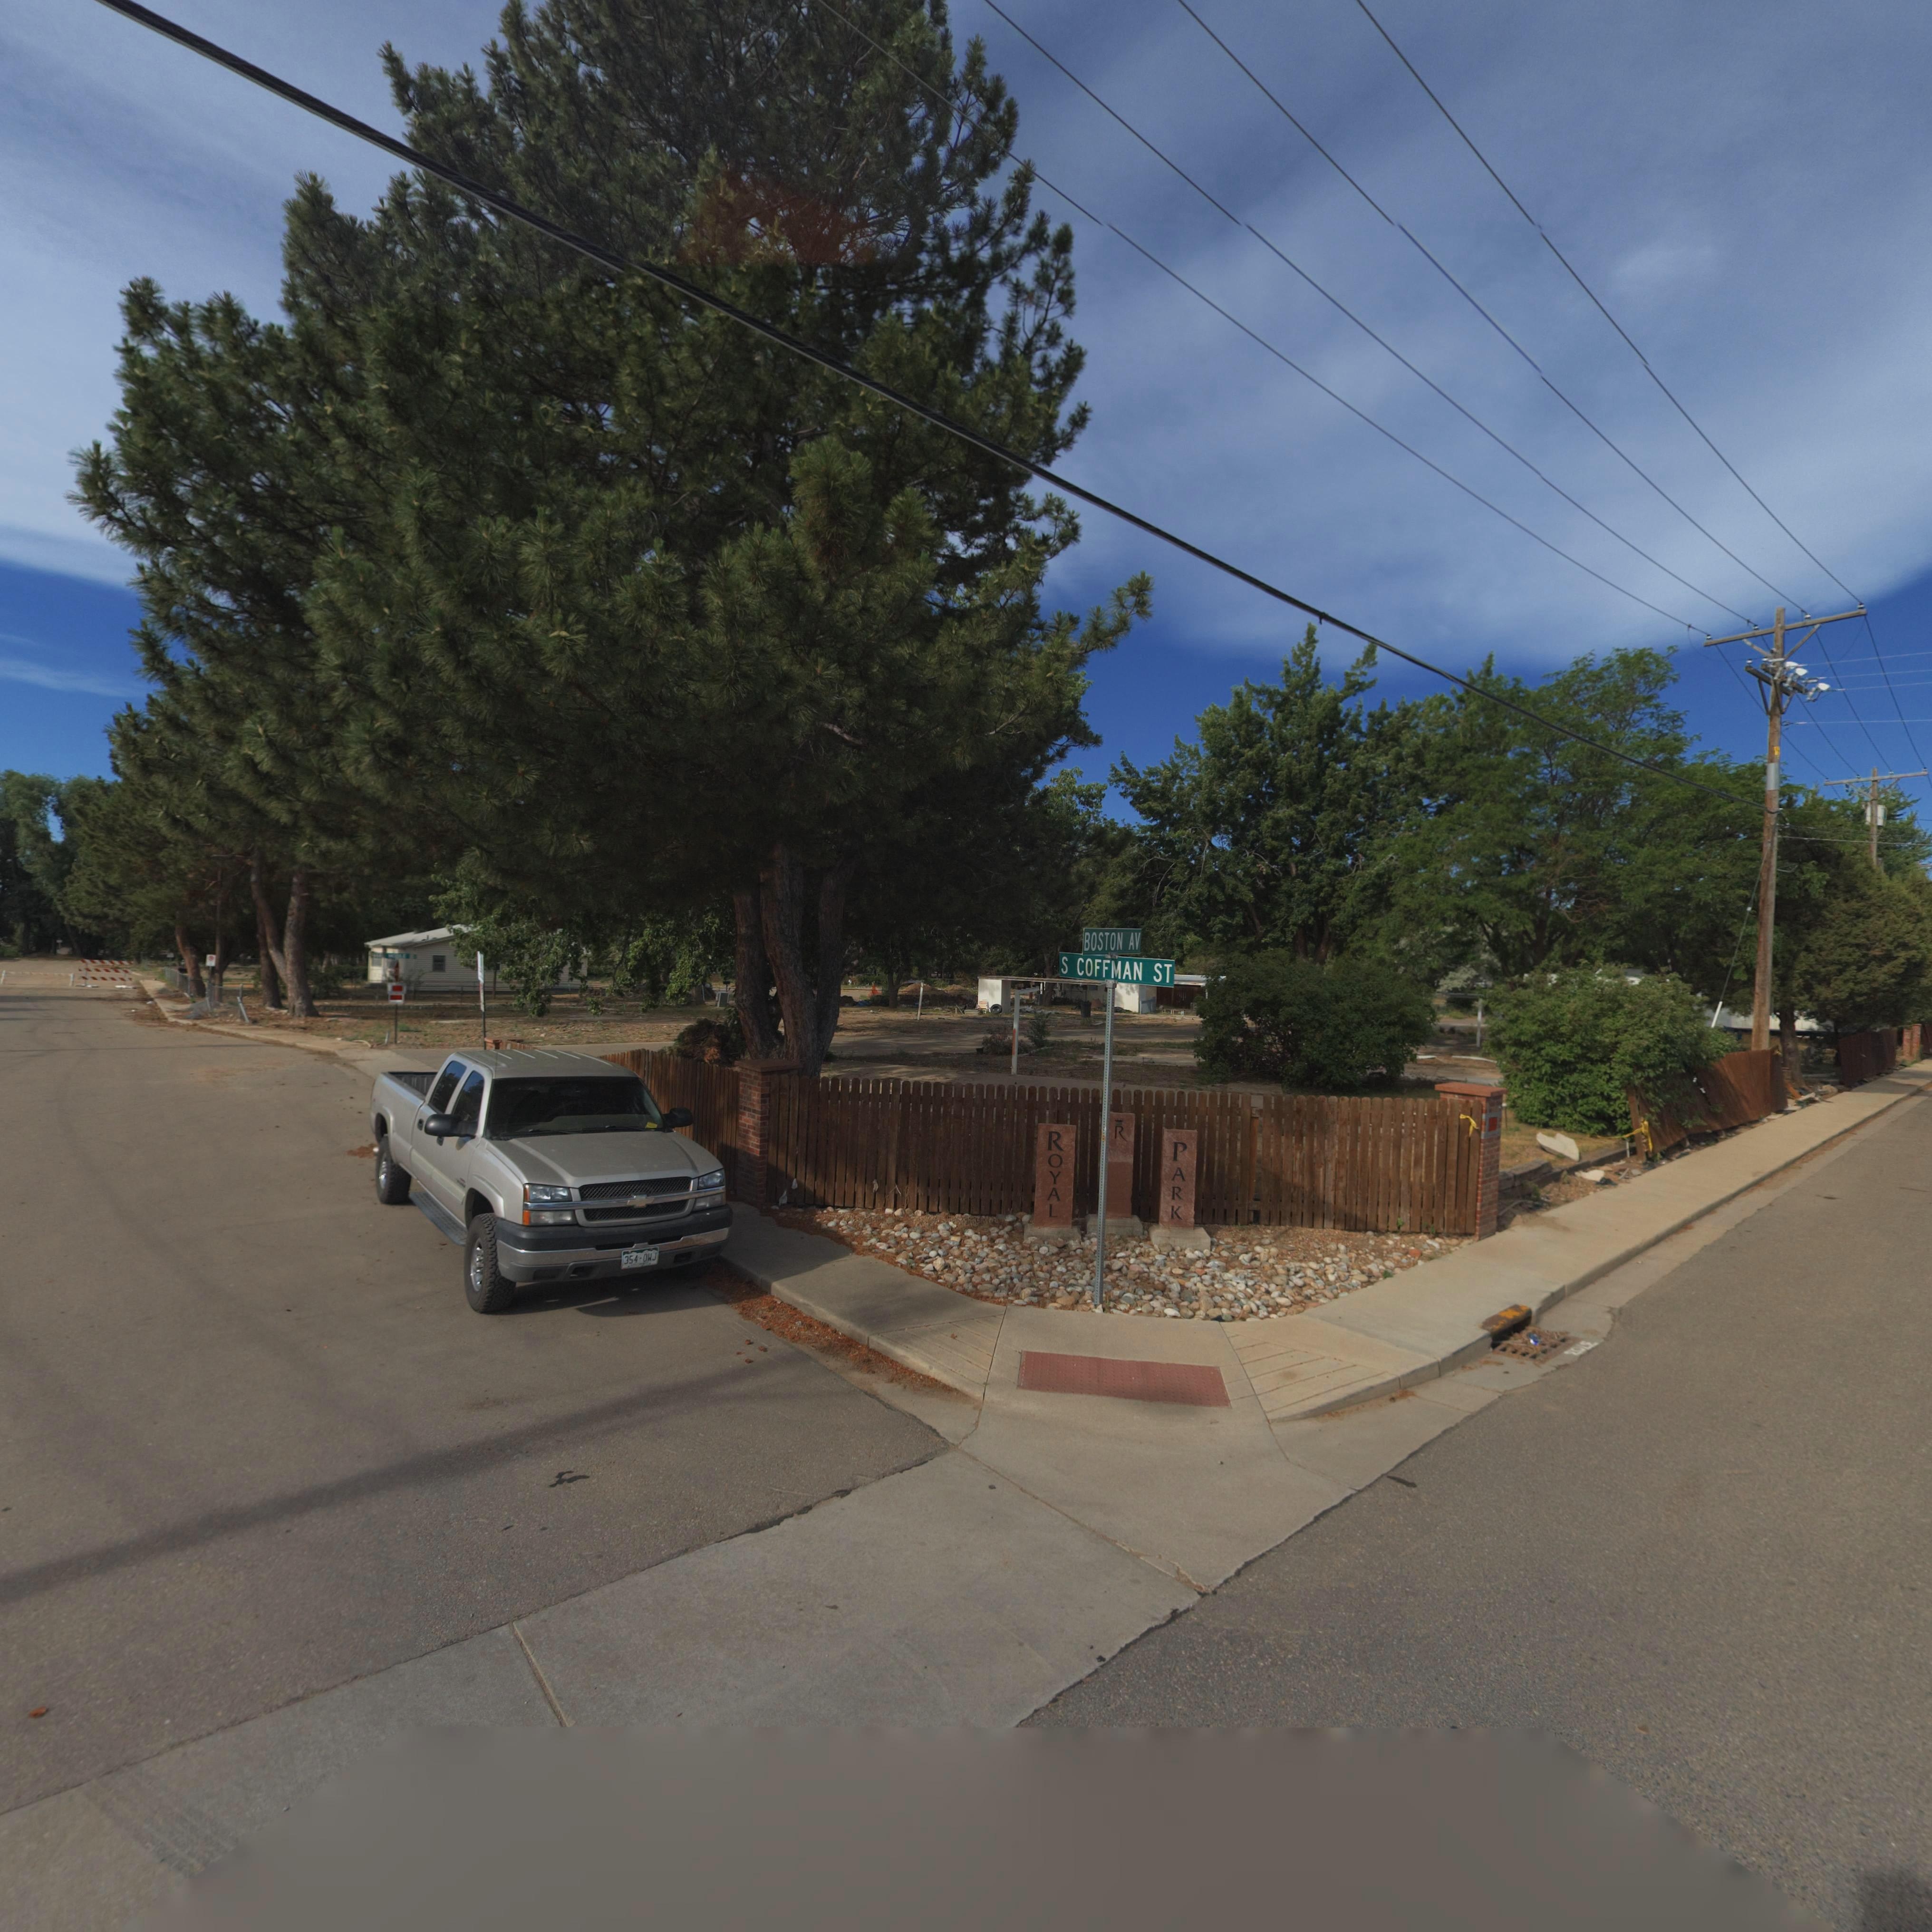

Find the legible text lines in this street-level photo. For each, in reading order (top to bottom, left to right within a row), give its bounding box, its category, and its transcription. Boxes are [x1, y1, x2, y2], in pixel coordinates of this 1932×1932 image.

[1083, 930, 1141, 952] StreetName: BOSTON AV
[1061, 956, 1173, 983] BusinessName: S COFFMAN ST